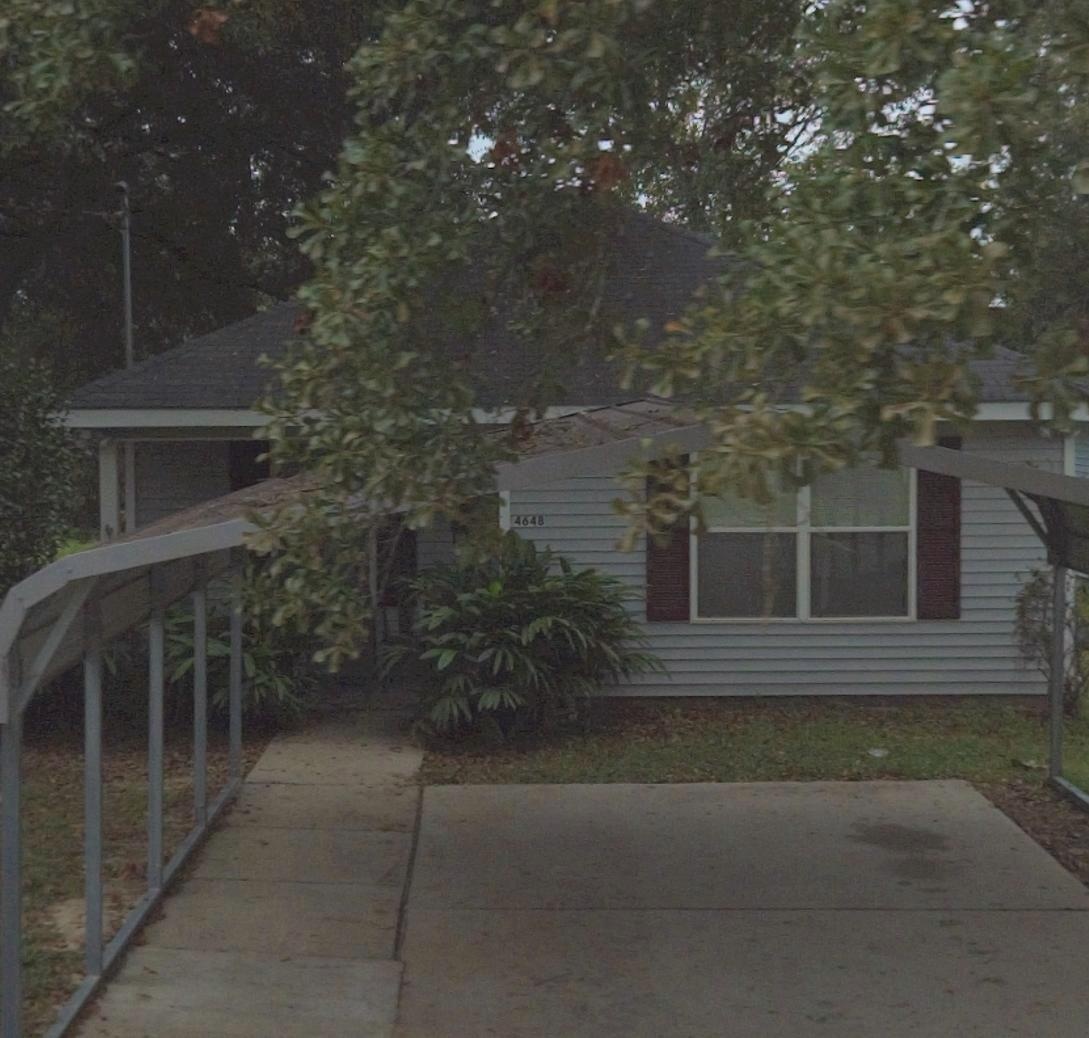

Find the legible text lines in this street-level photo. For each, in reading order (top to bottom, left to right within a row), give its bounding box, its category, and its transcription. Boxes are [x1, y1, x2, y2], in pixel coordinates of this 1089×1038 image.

[513, 516, 545, 527] StreetNumber: 4648